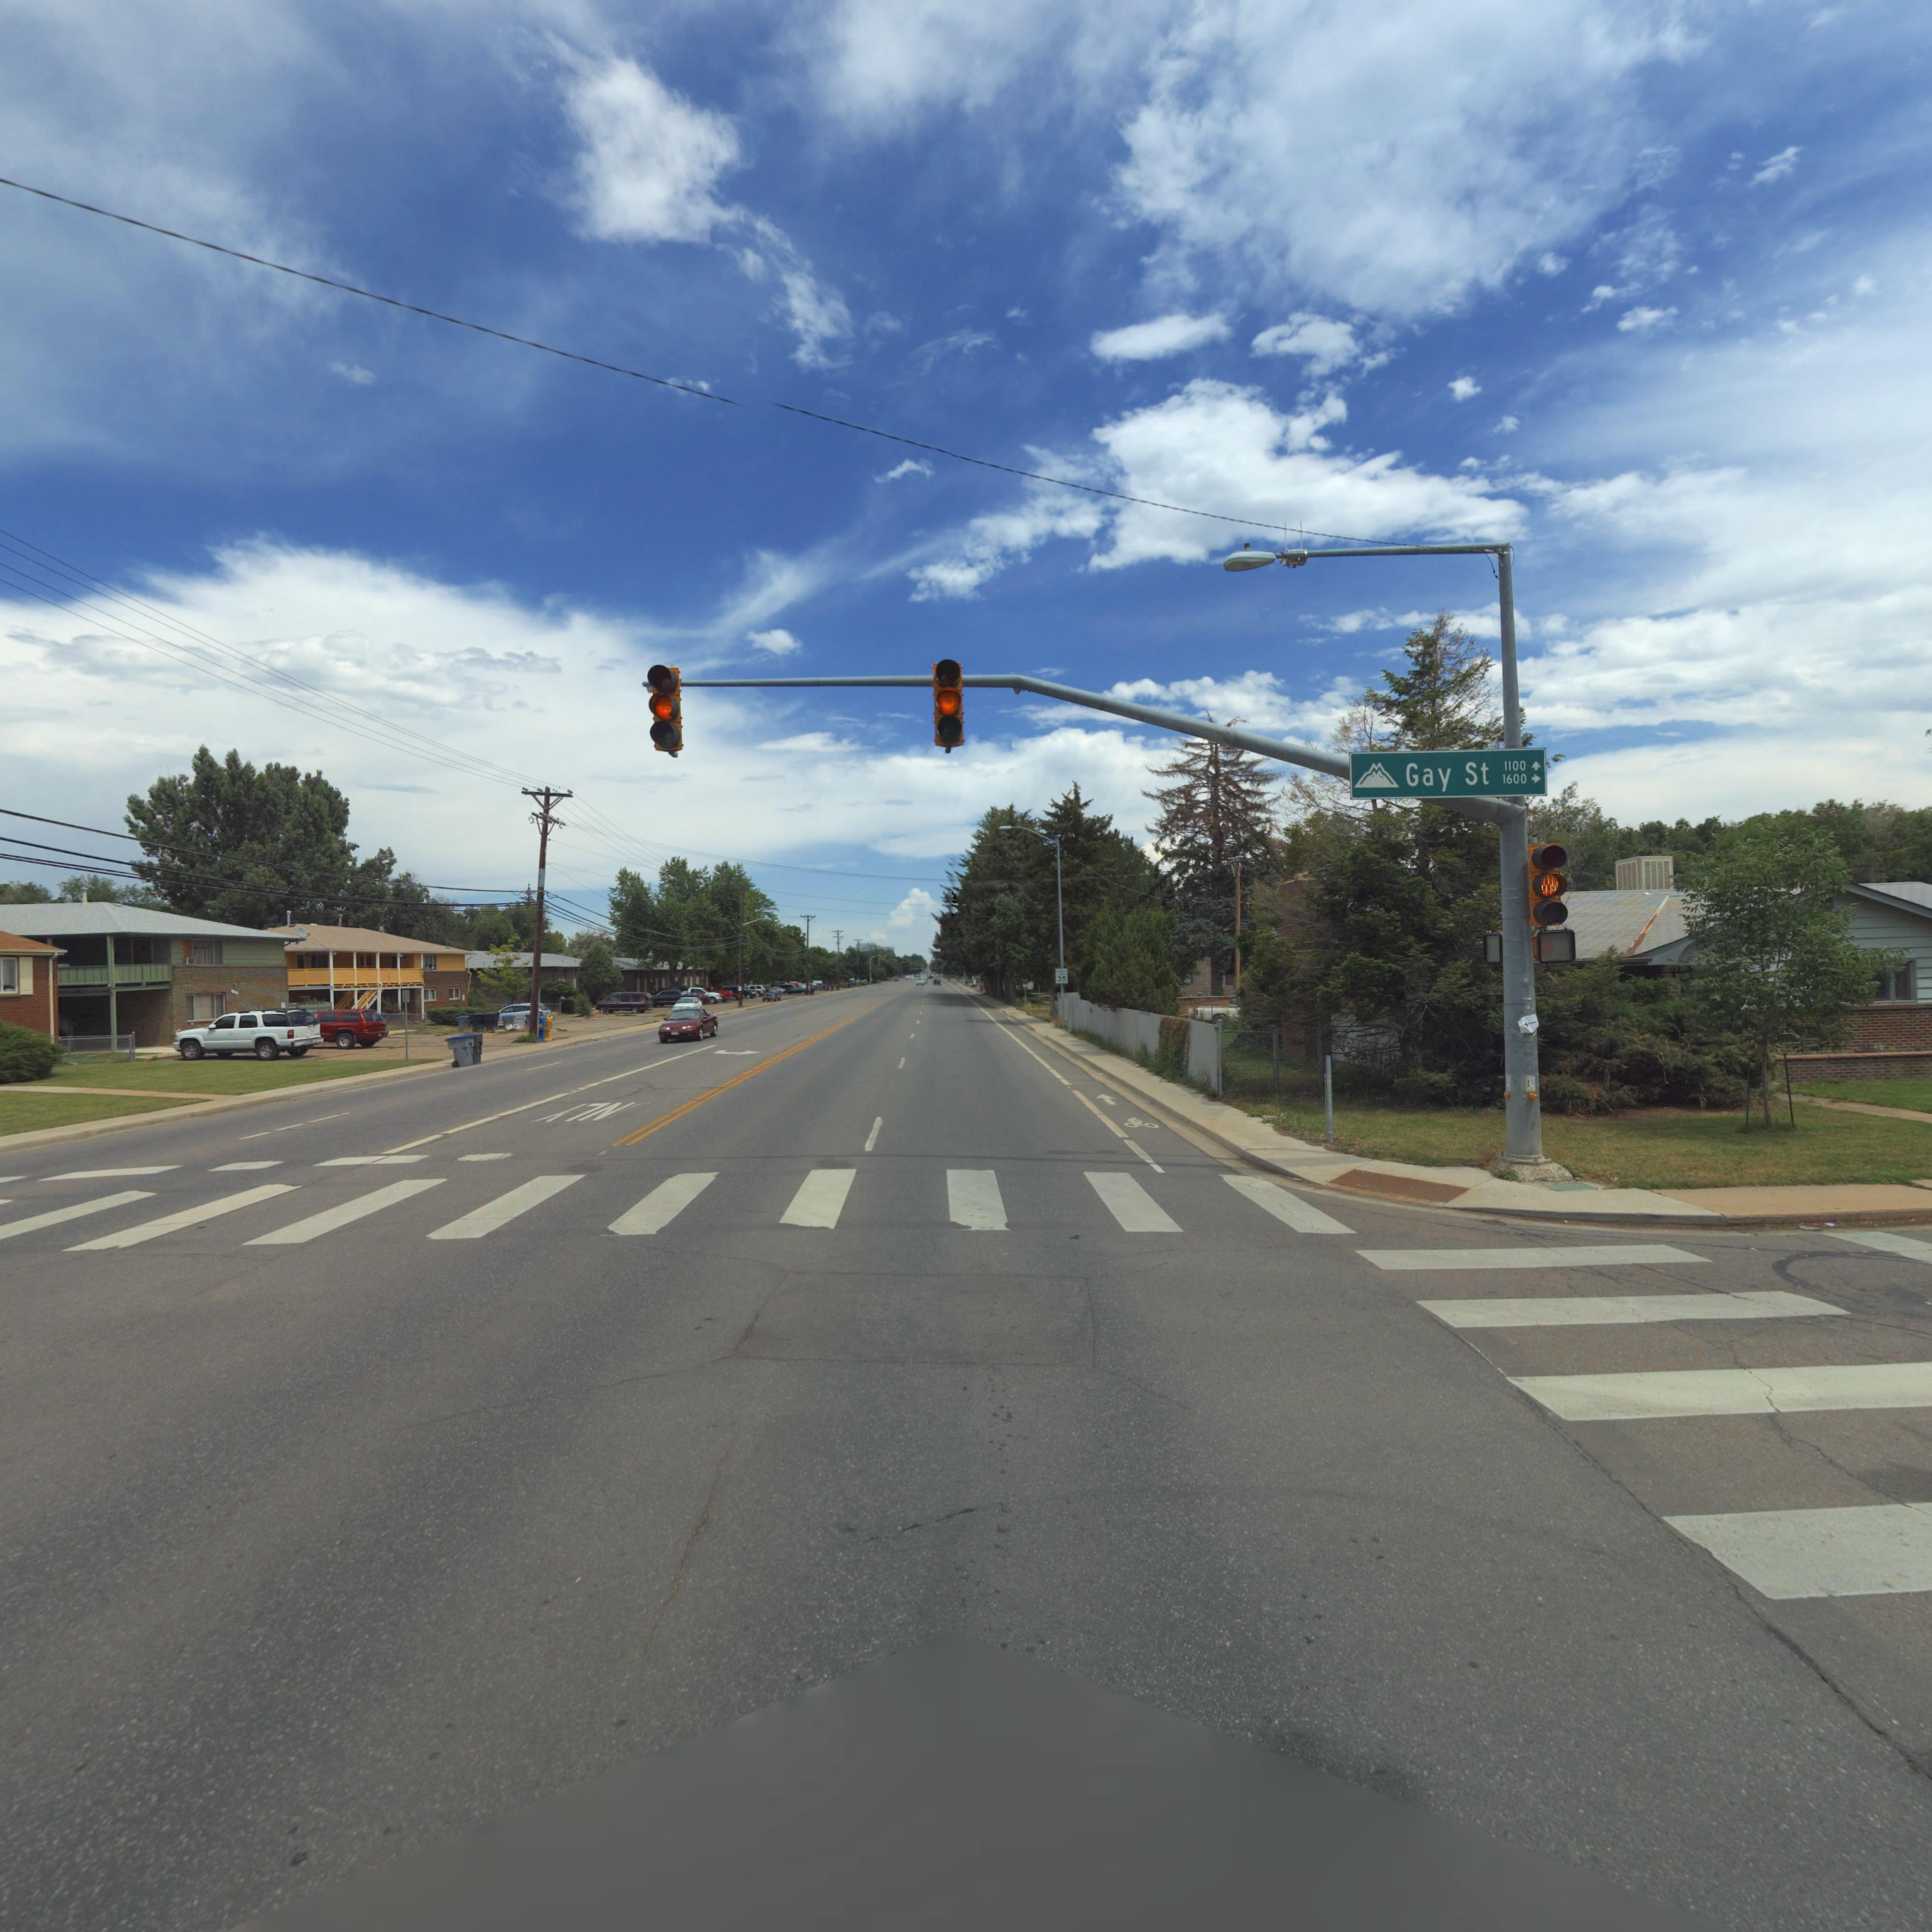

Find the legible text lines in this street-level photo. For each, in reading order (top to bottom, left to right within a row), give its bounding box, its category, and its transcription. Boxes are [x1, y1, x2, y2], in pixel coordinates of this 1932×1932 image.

[1504, 760, 1526, 772] StreetNumberRange: 1100
[1404, 761, 1491, 793] StreetName: Gay St
[1502, 773, 1542, 784] StreetNumberRange: 1600->